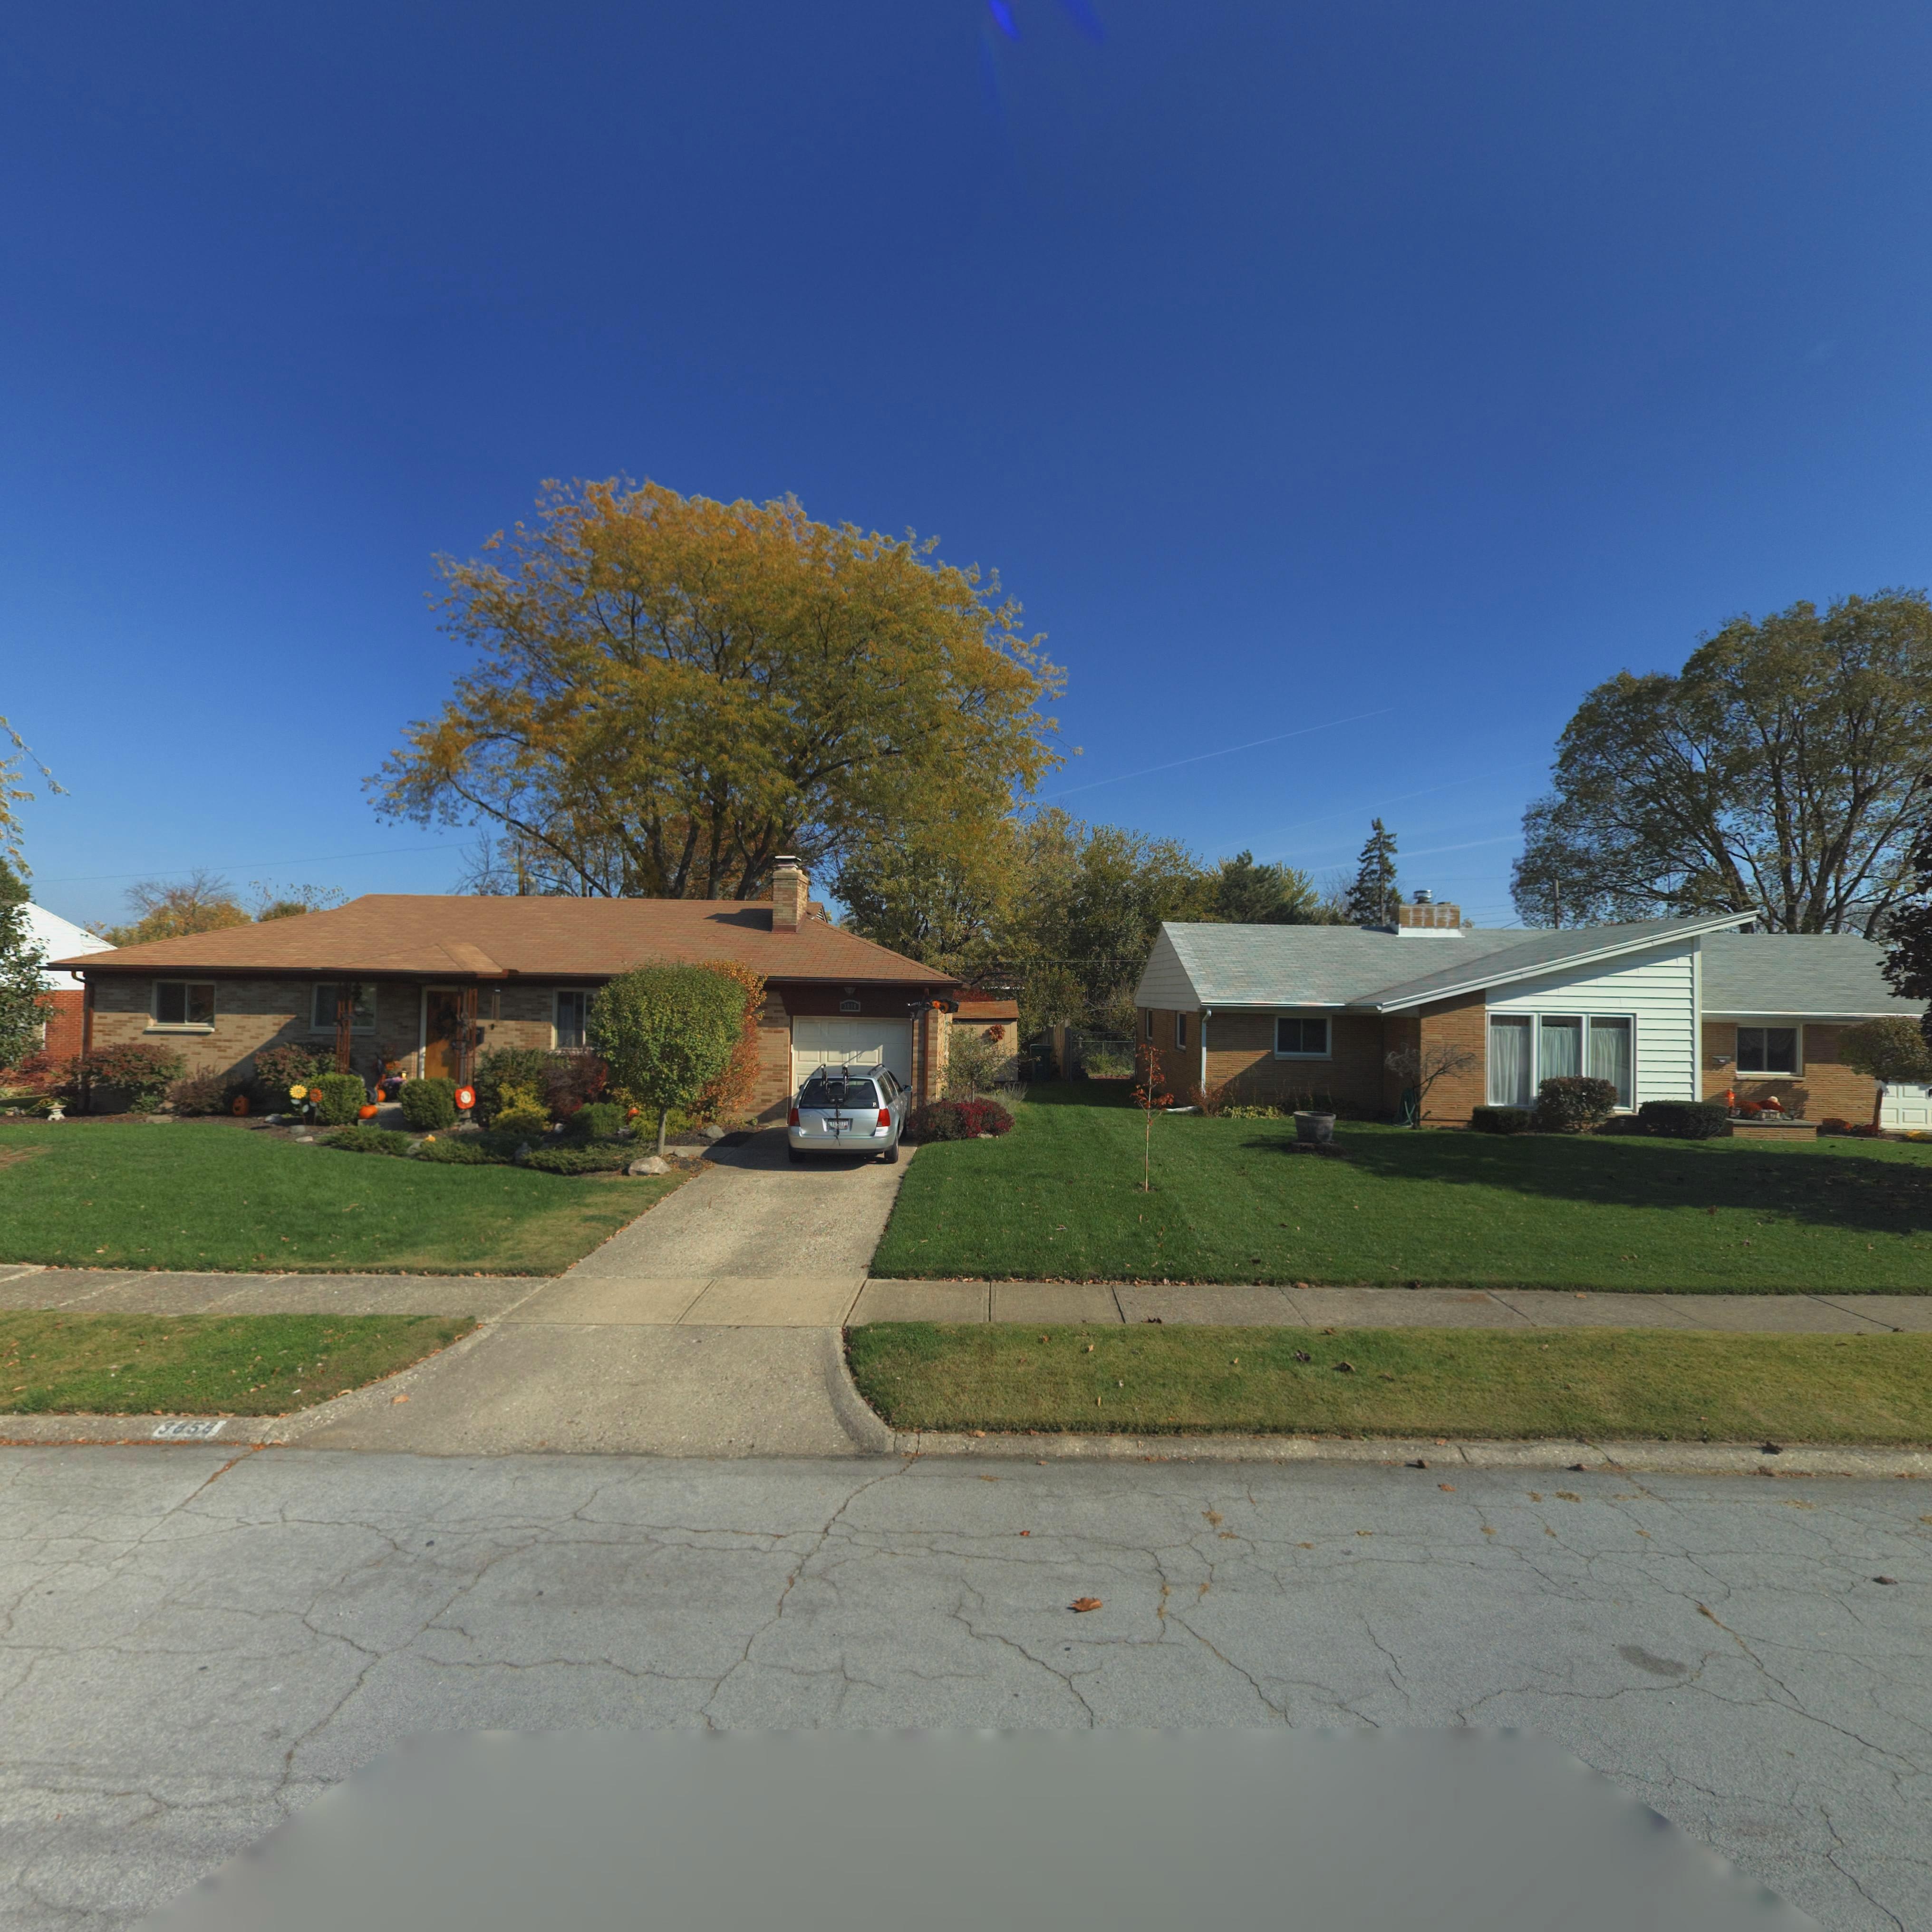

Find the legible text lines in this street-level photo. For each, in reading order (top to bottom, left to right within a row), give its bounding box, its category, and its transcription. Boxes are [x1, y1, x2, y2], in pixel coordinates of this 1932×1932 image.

[843, 1003, 857, 1009] StreetNumber: 3858
[1764, 1112, 1777, 1119] StreetNumber: 3872
[155, 1421, 220, 1434] StreetNumber: 3858